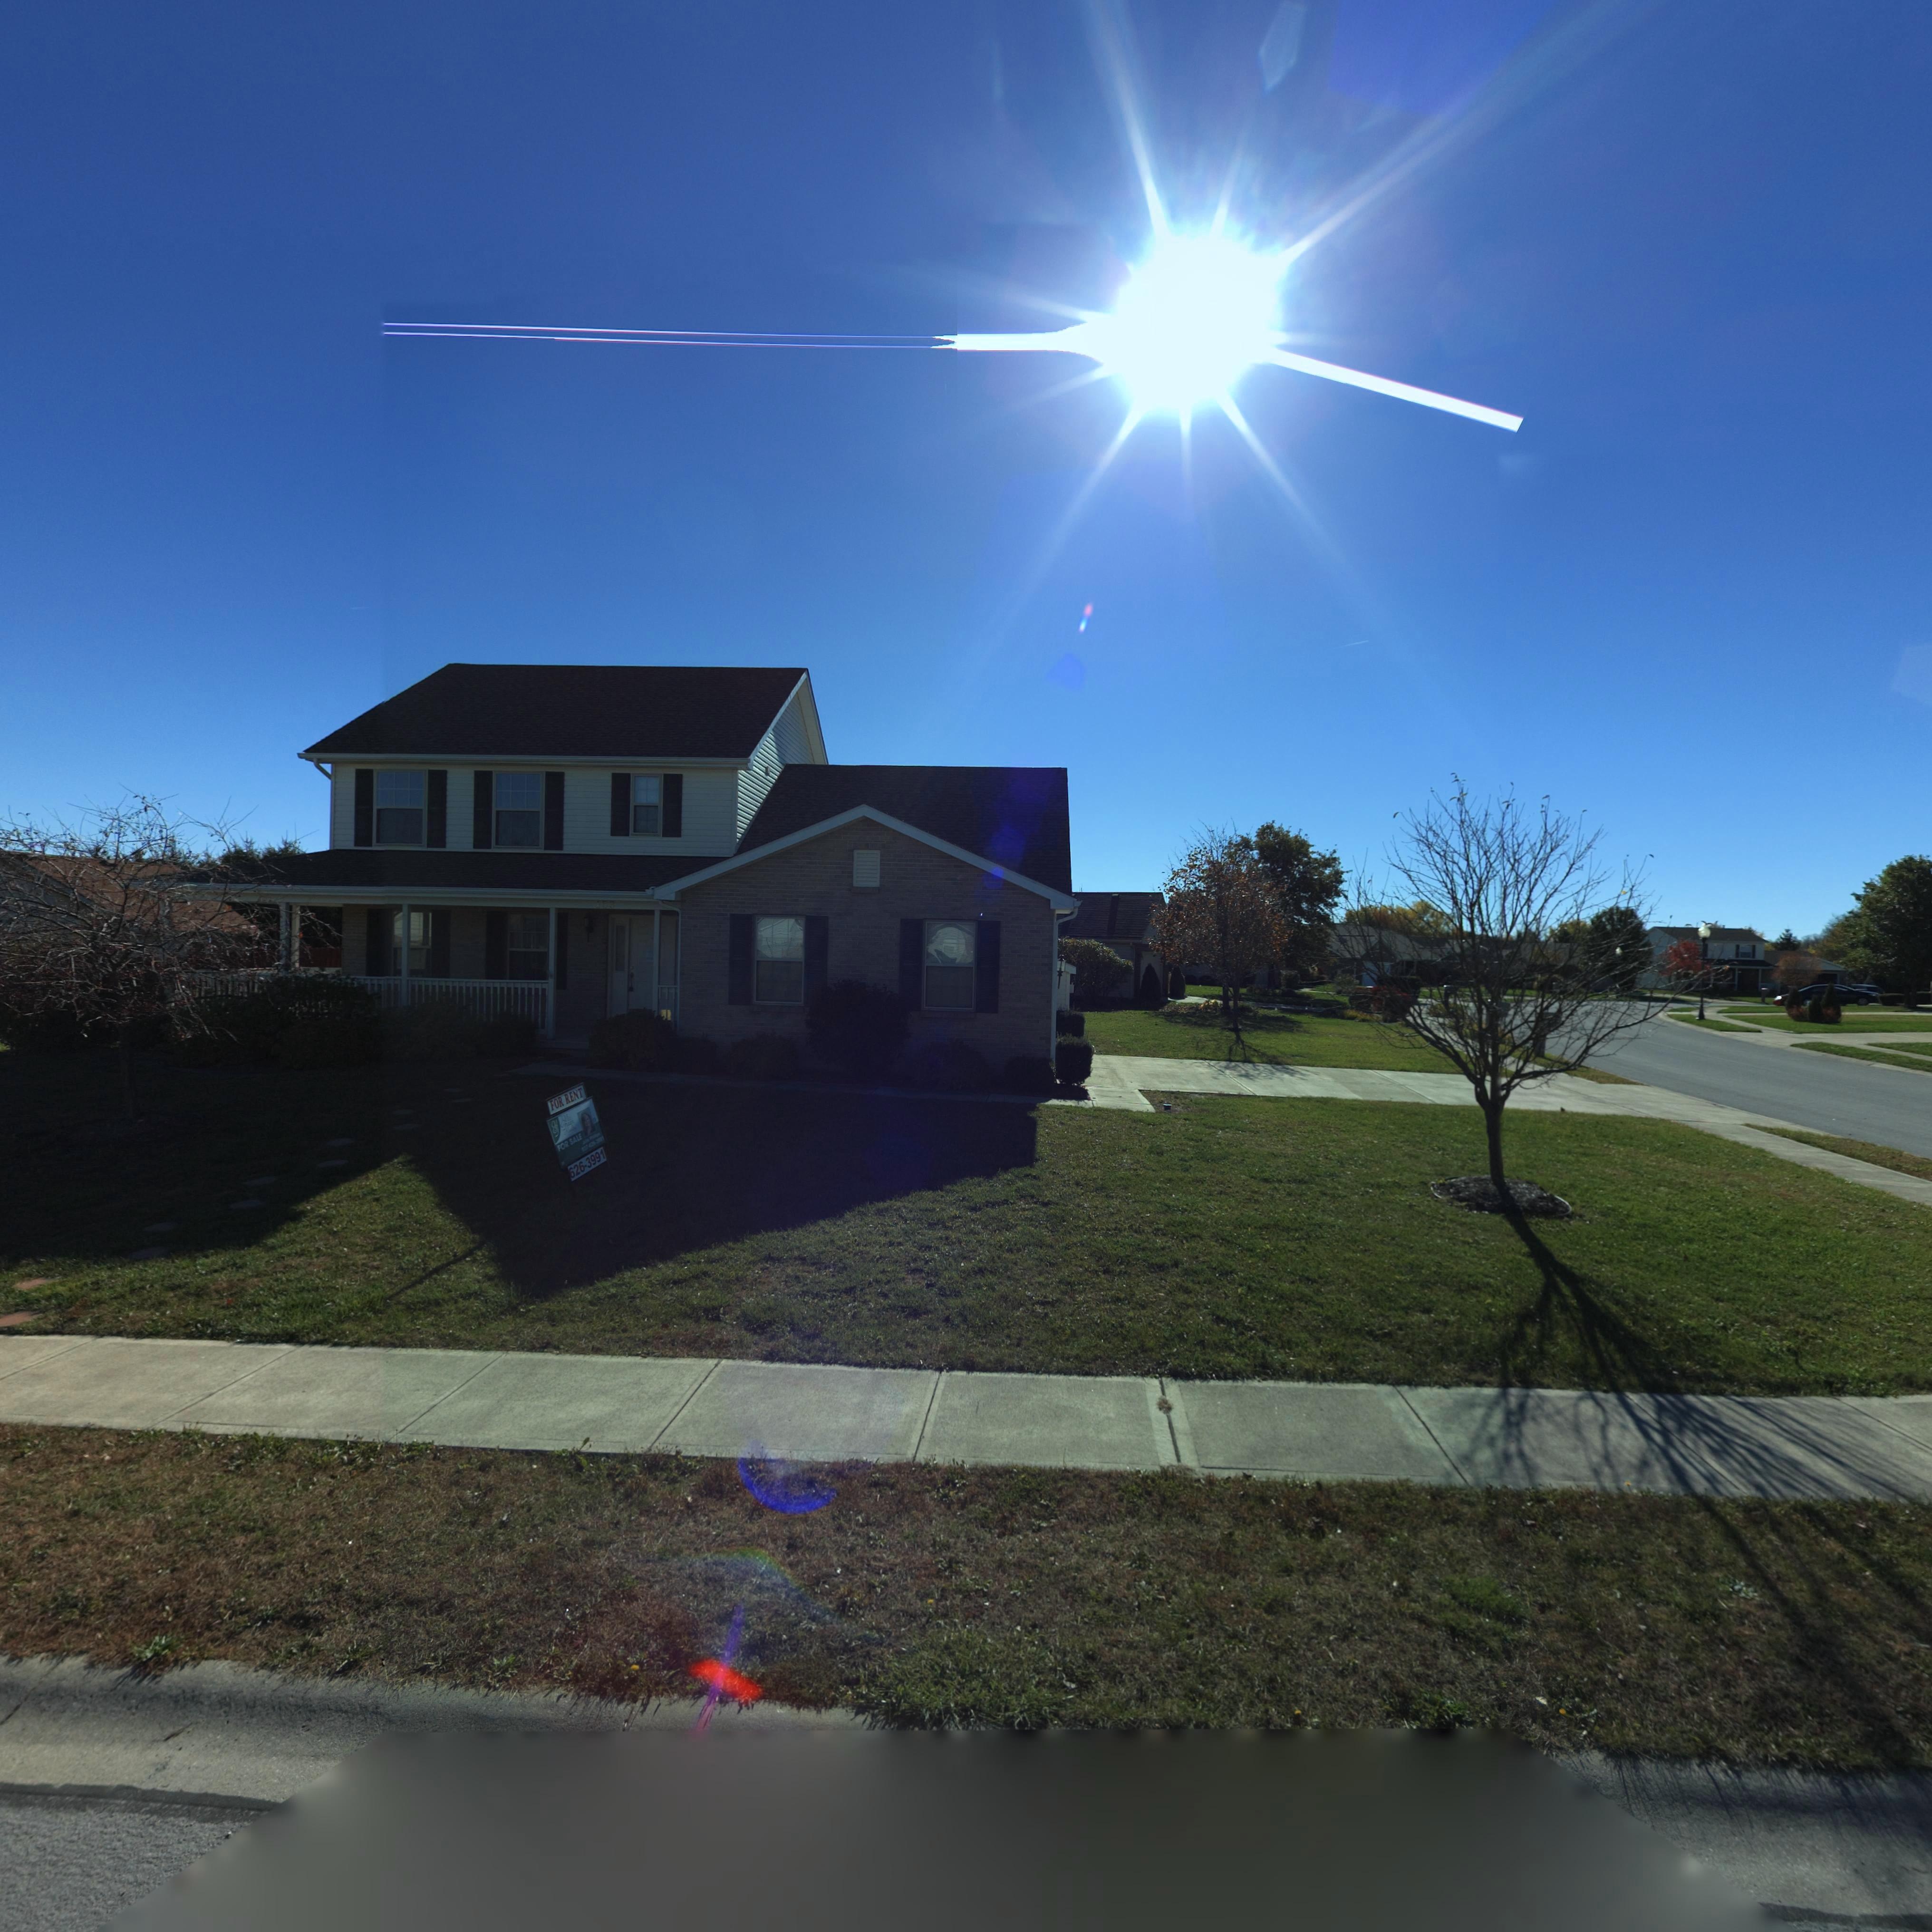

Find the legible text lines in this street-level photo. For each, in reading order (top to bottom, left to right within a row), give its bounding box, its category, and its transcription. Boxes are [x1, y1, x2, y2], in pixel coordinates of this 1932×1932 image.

[595, 900, 615, 909] StreetNumber: 153
[548, 1085, 585, 1112] None: FOR RENT
[556, 1131, 584, 1153] None: FOR SALE
[567, 1146, 608, 1181] None: 626-3991